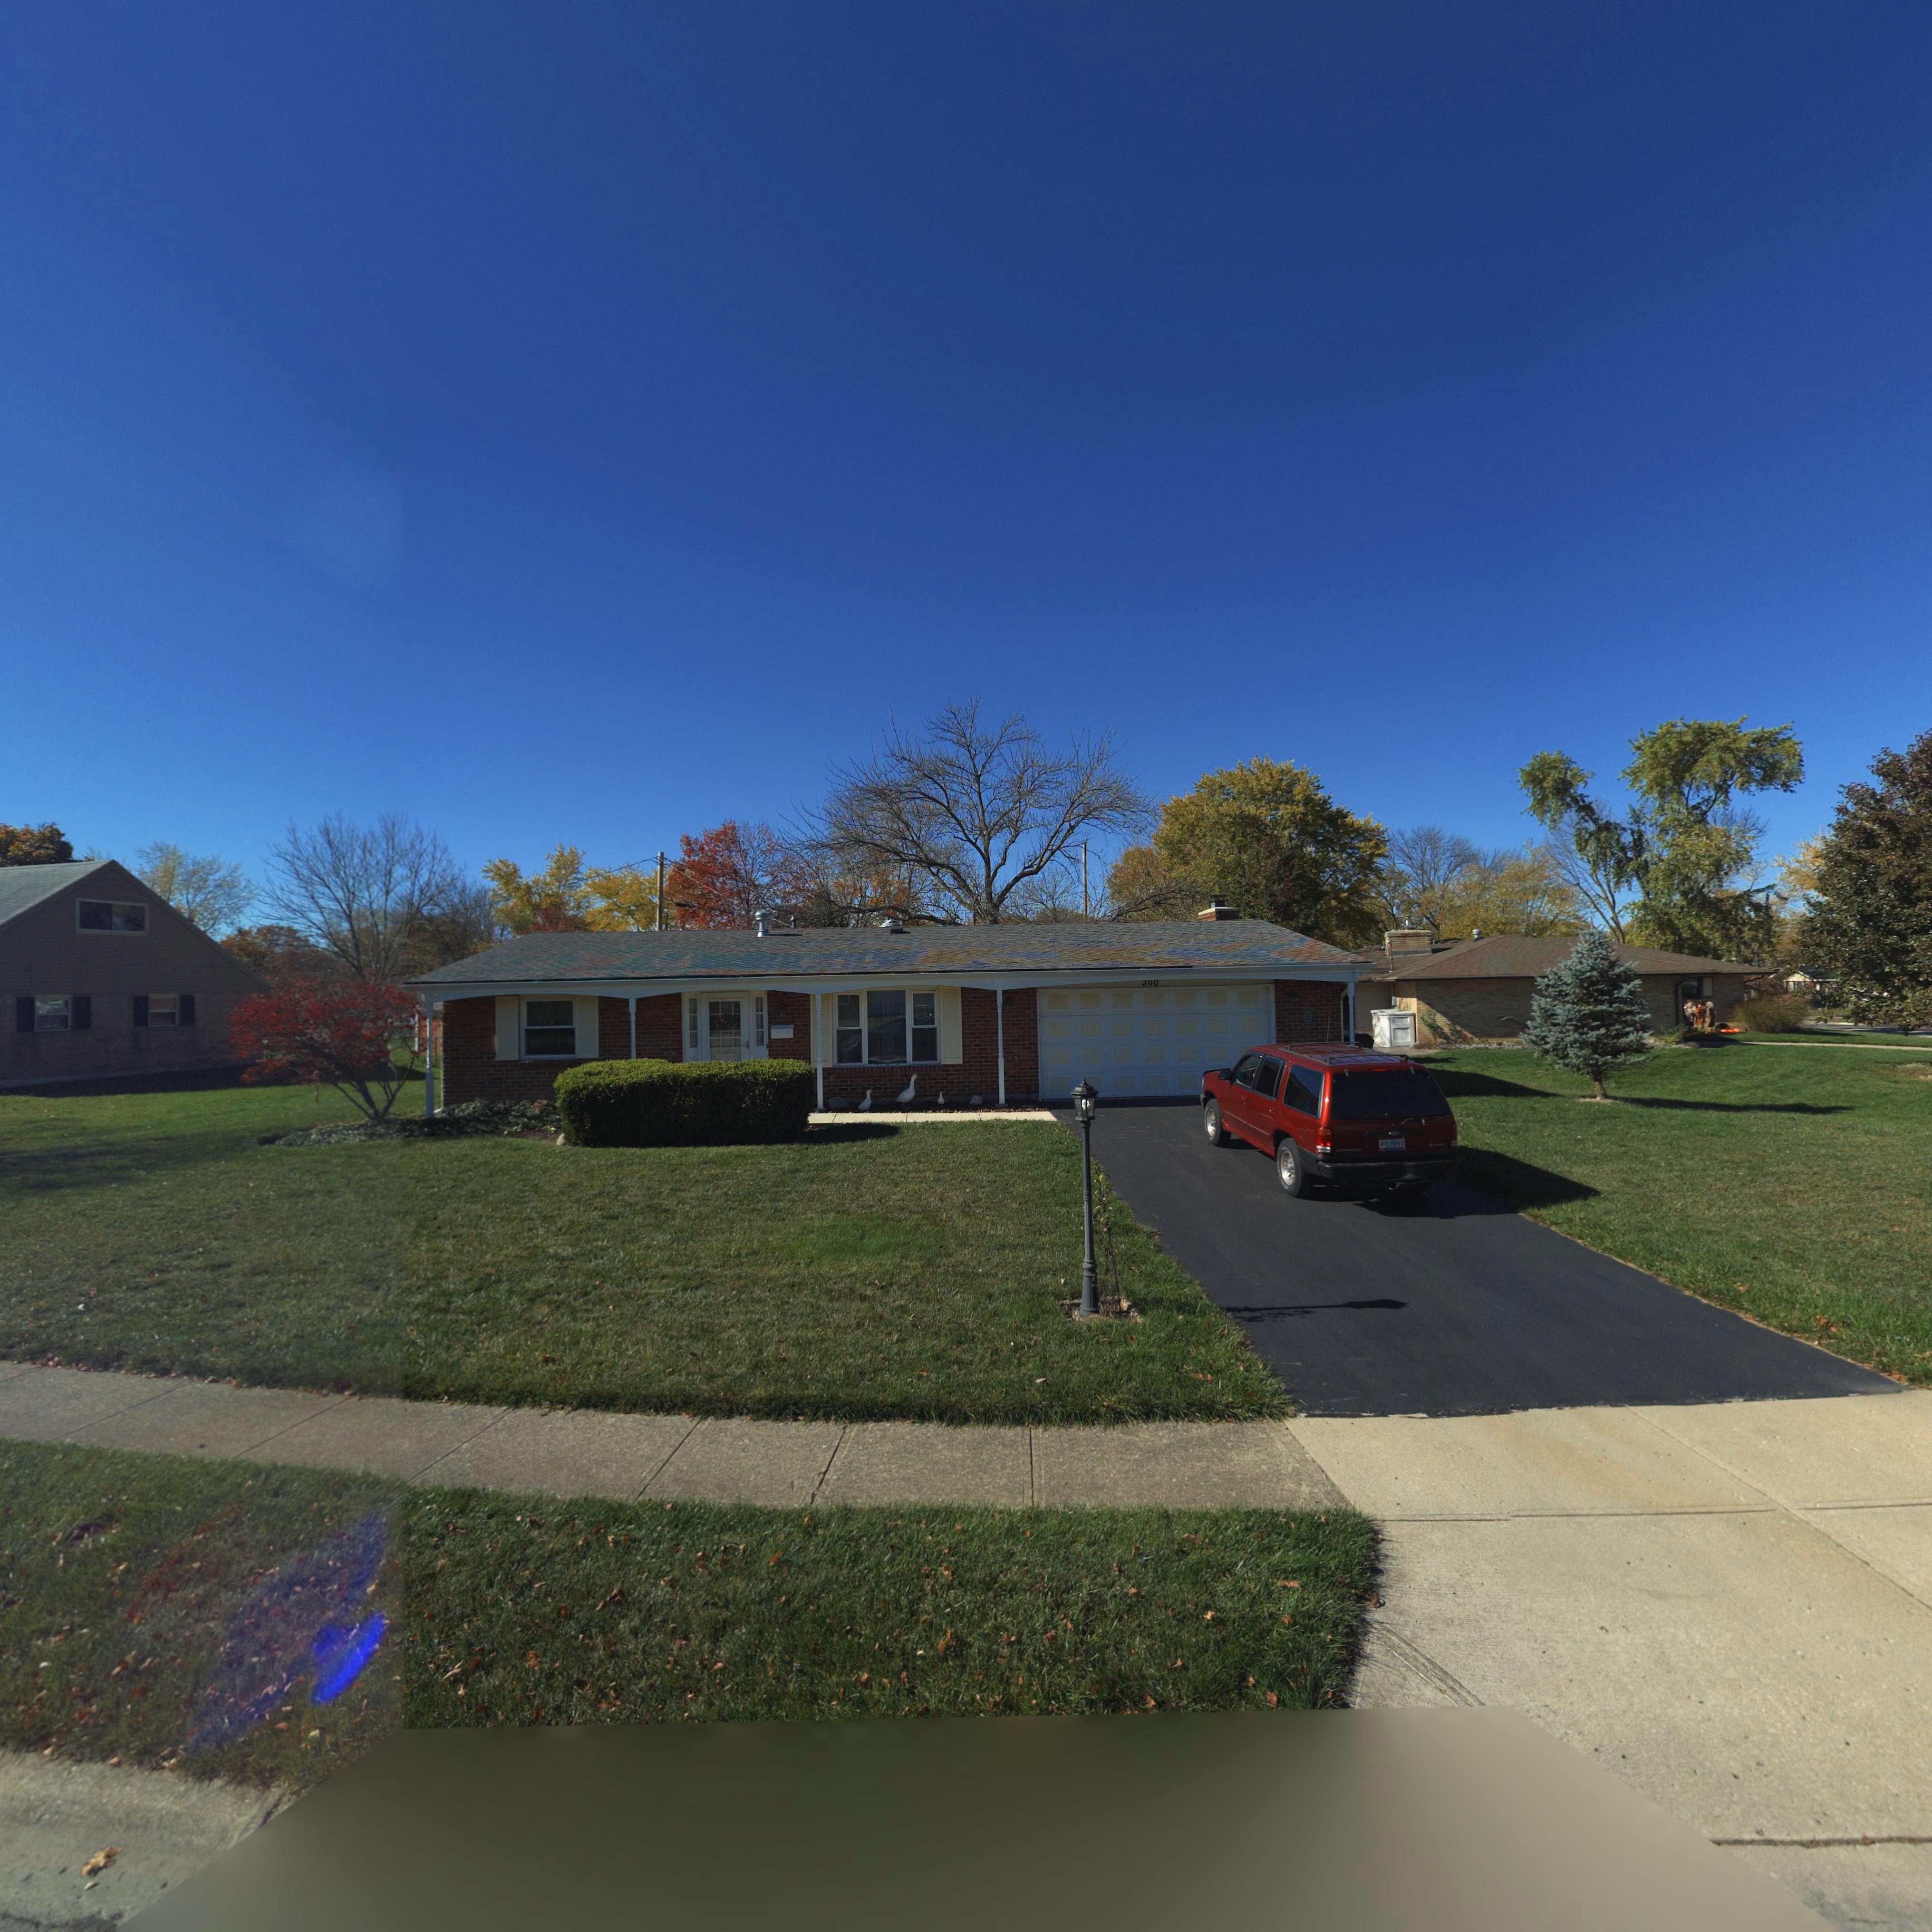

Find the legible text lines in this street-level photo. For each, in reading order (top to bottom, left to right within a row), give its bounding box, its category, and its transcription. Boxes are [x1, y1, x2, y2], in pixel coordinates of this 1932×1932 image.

[1141, 979, 1159, 987] StreetNumber: 200